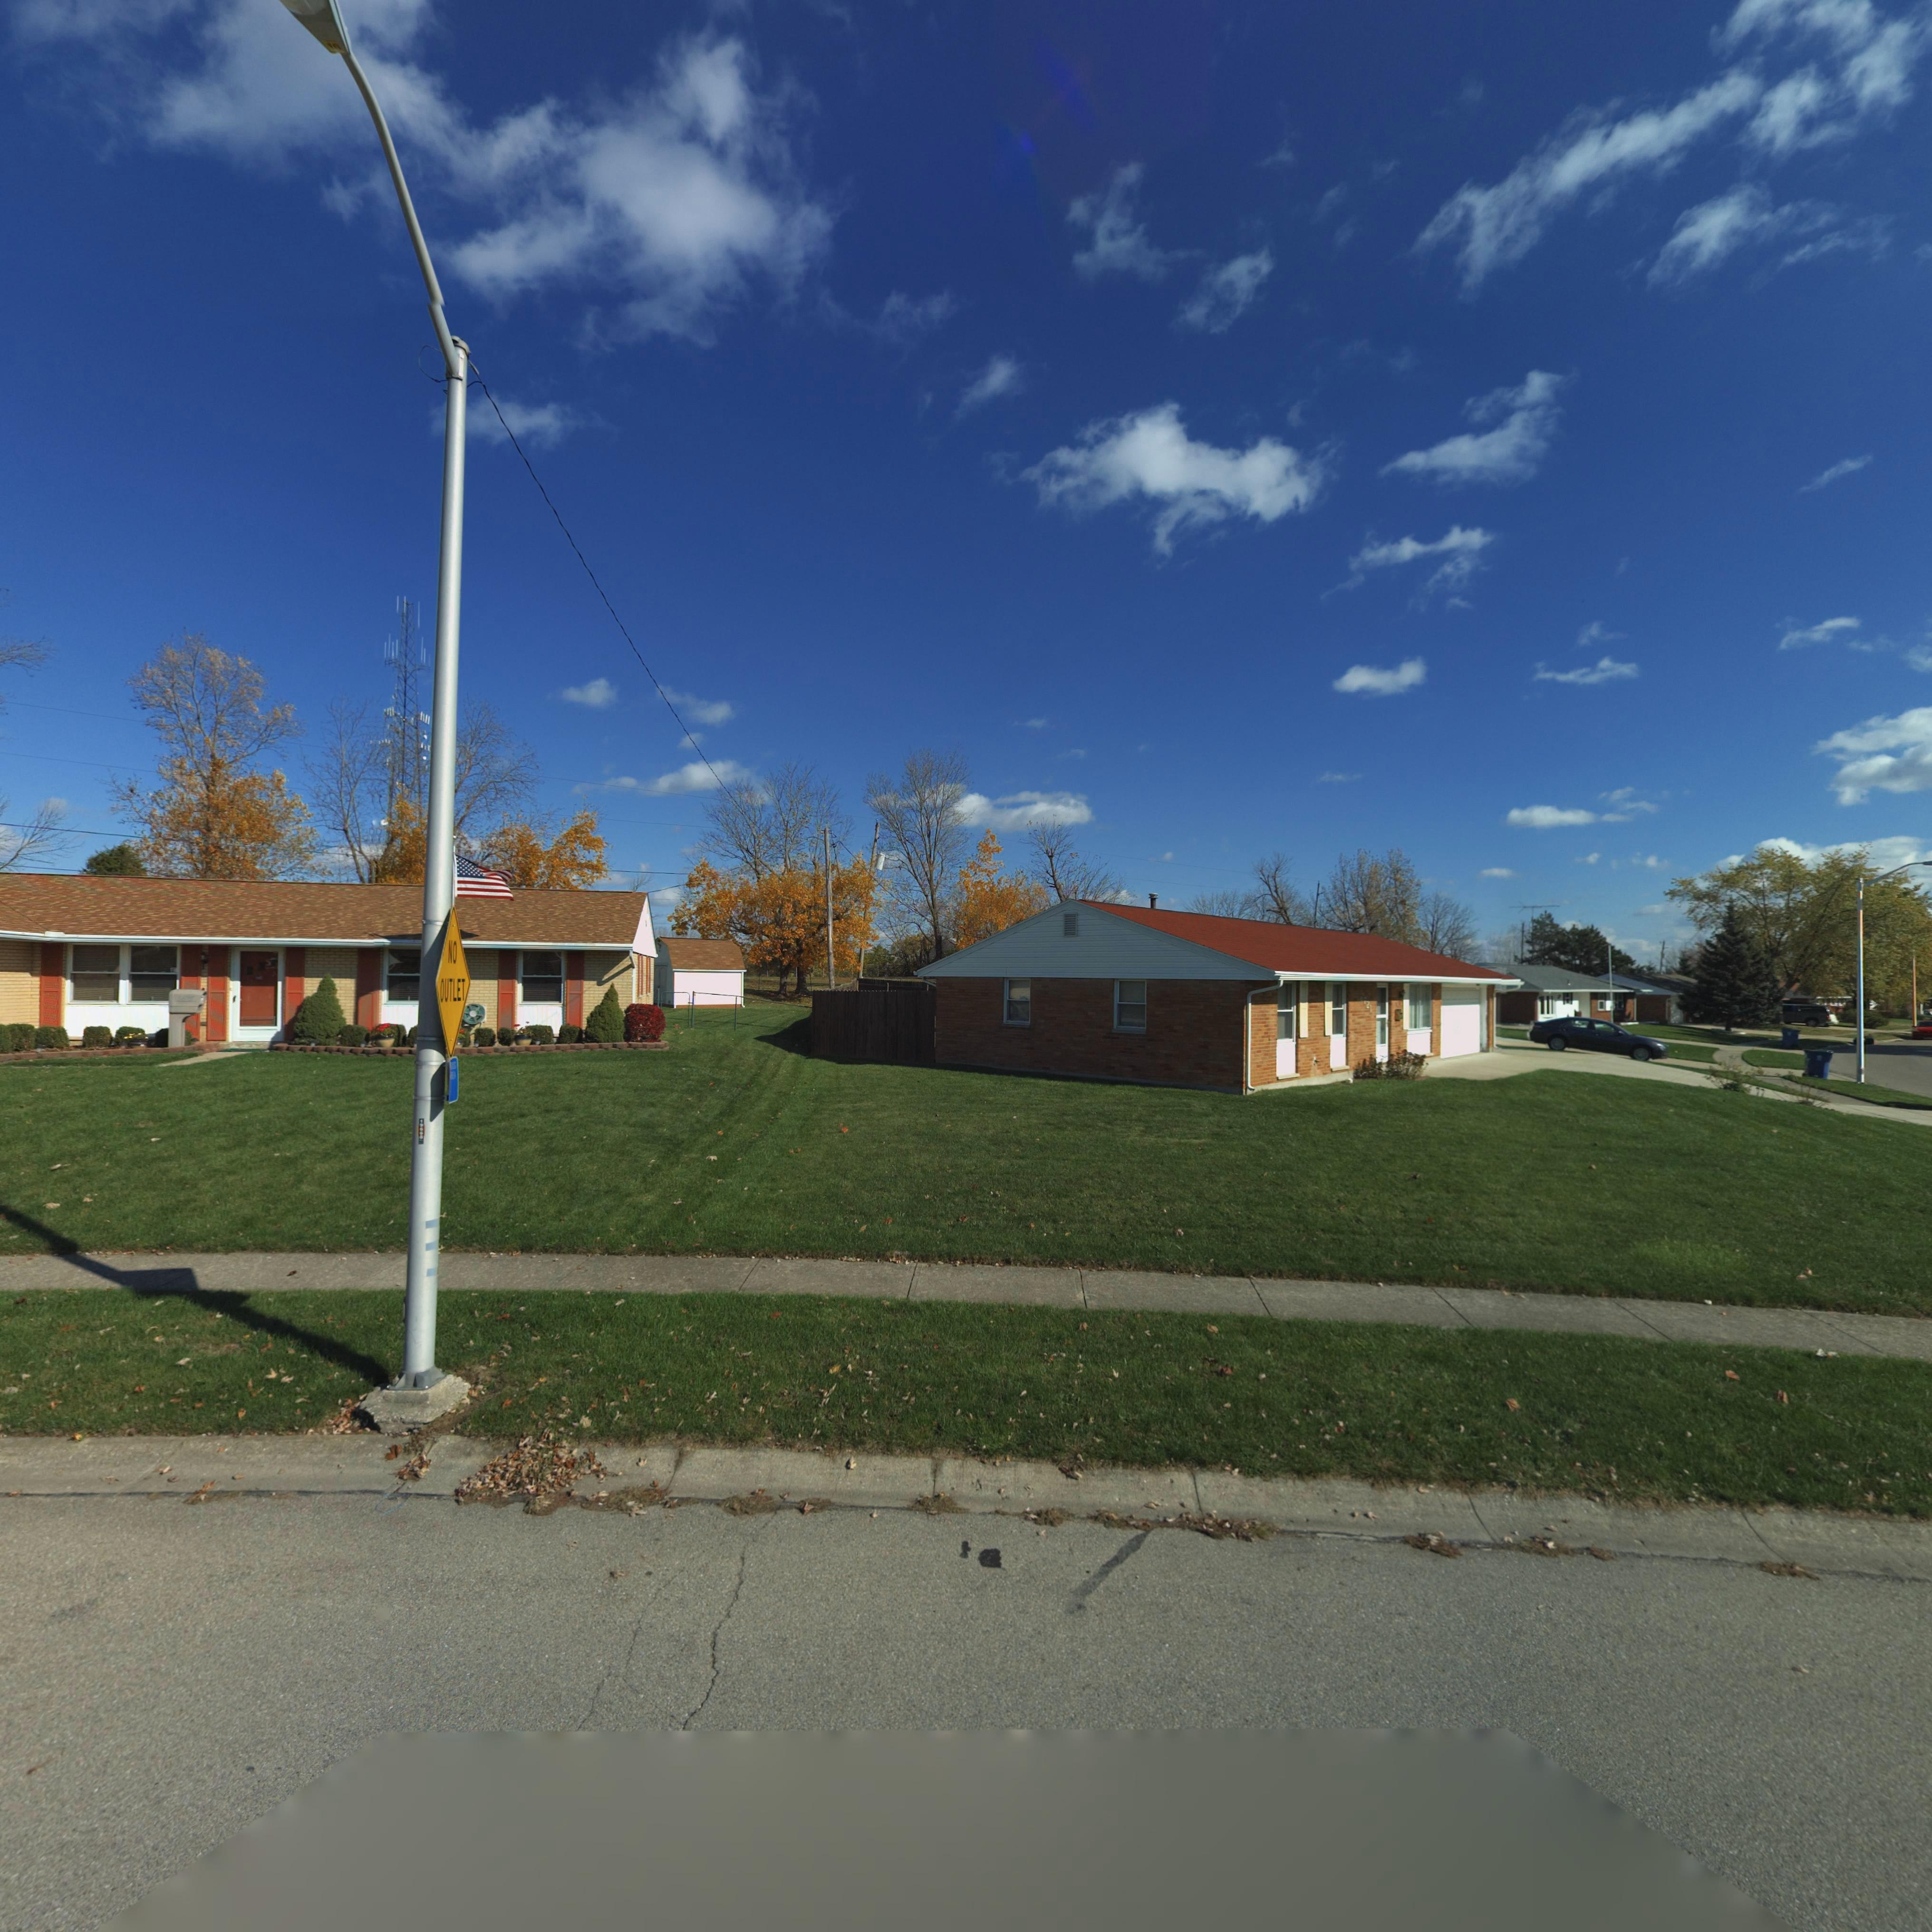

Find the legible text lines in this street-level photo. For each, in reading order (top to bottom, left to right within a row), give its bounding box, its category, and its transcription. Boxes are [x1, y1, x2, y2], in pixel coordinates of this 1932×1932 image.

[176, 995, 194, 1001] StreetNumber: *6**
[1359, 992, 1373, 1013] StreetNumber: *721